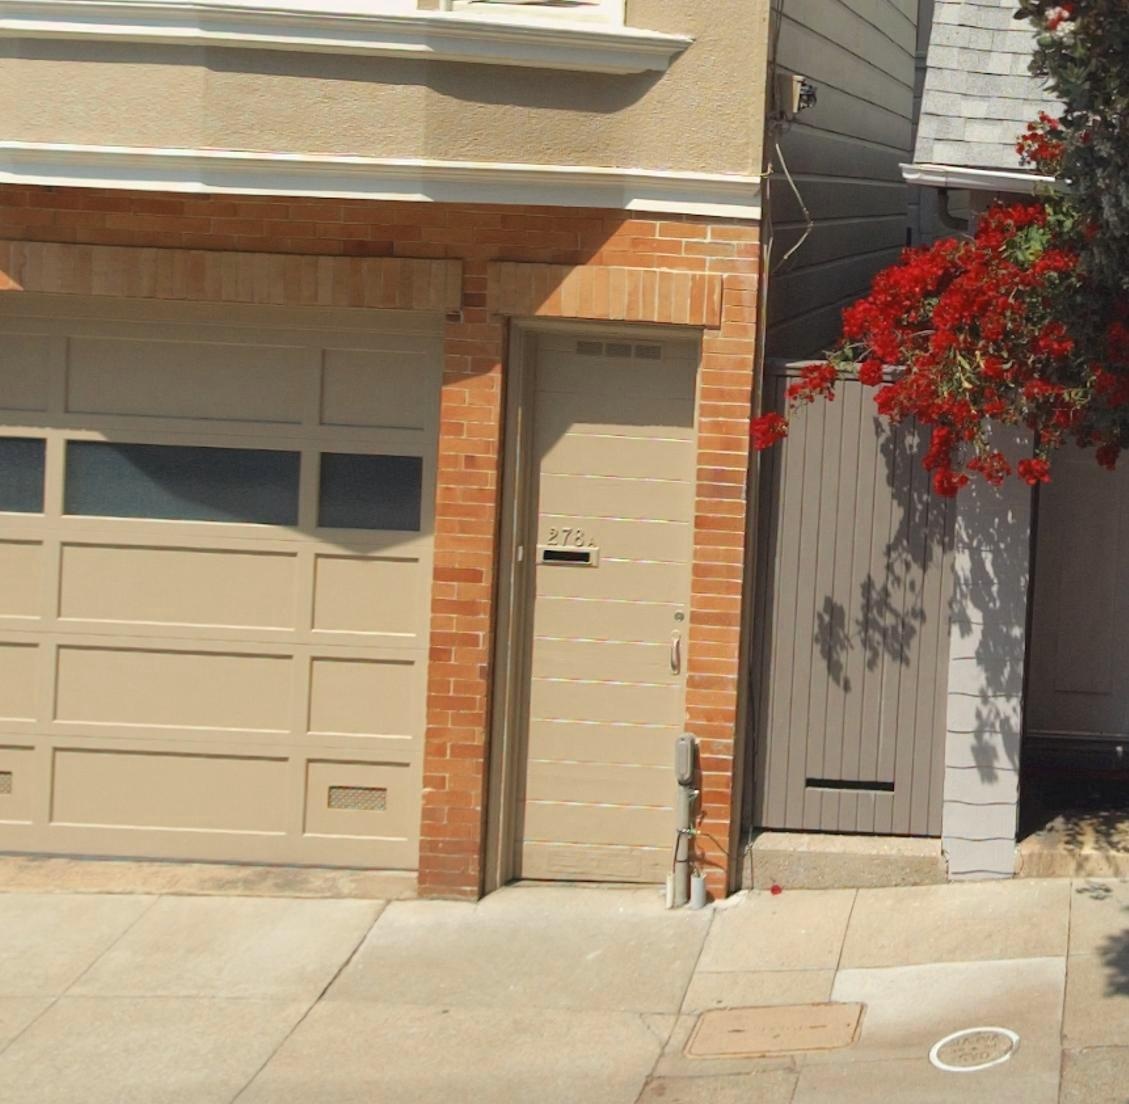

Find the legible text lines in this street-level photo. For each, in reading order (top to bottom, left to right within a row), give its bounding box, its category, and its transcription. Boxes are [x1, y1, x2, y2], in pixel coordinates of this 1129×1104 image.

[546, 526, 599, 549] StreetNumber: 278A